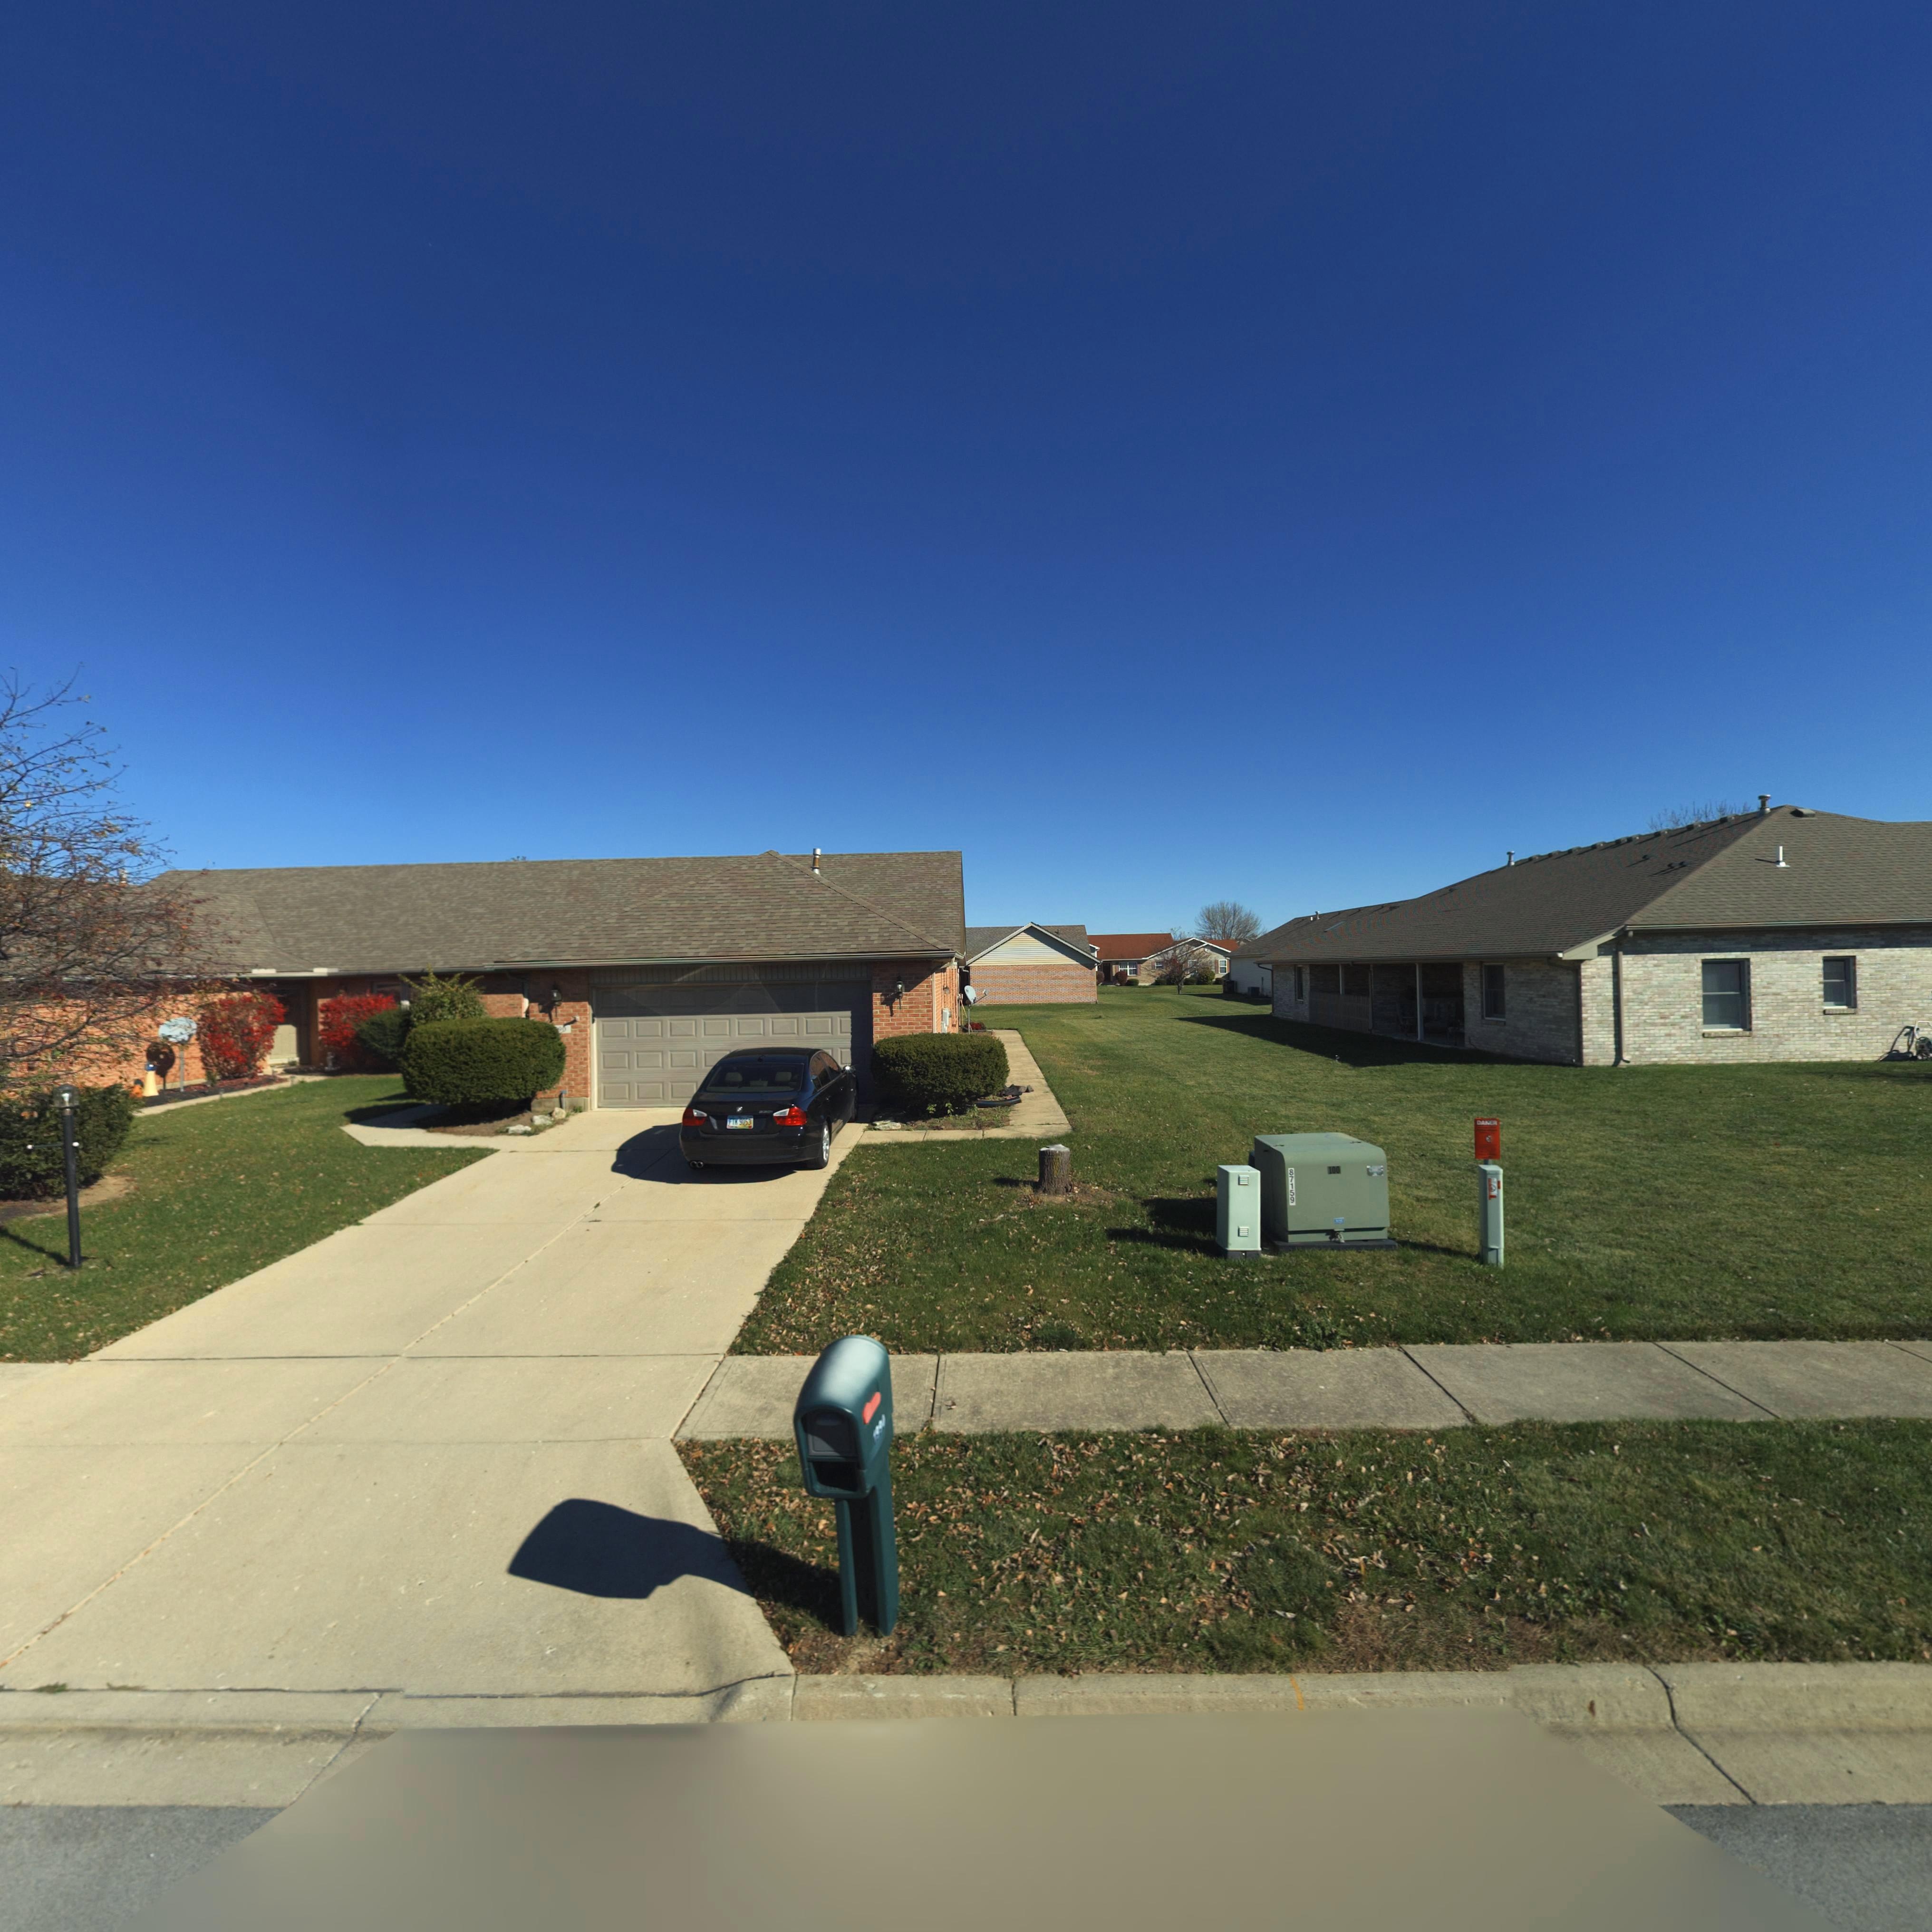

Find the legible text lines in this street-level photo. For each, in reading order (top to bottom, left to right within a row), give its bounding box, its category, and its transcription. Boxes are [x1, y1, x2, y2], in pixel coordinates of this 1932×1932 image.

[557, 1025, 568, 1033] StreetNumber: 90